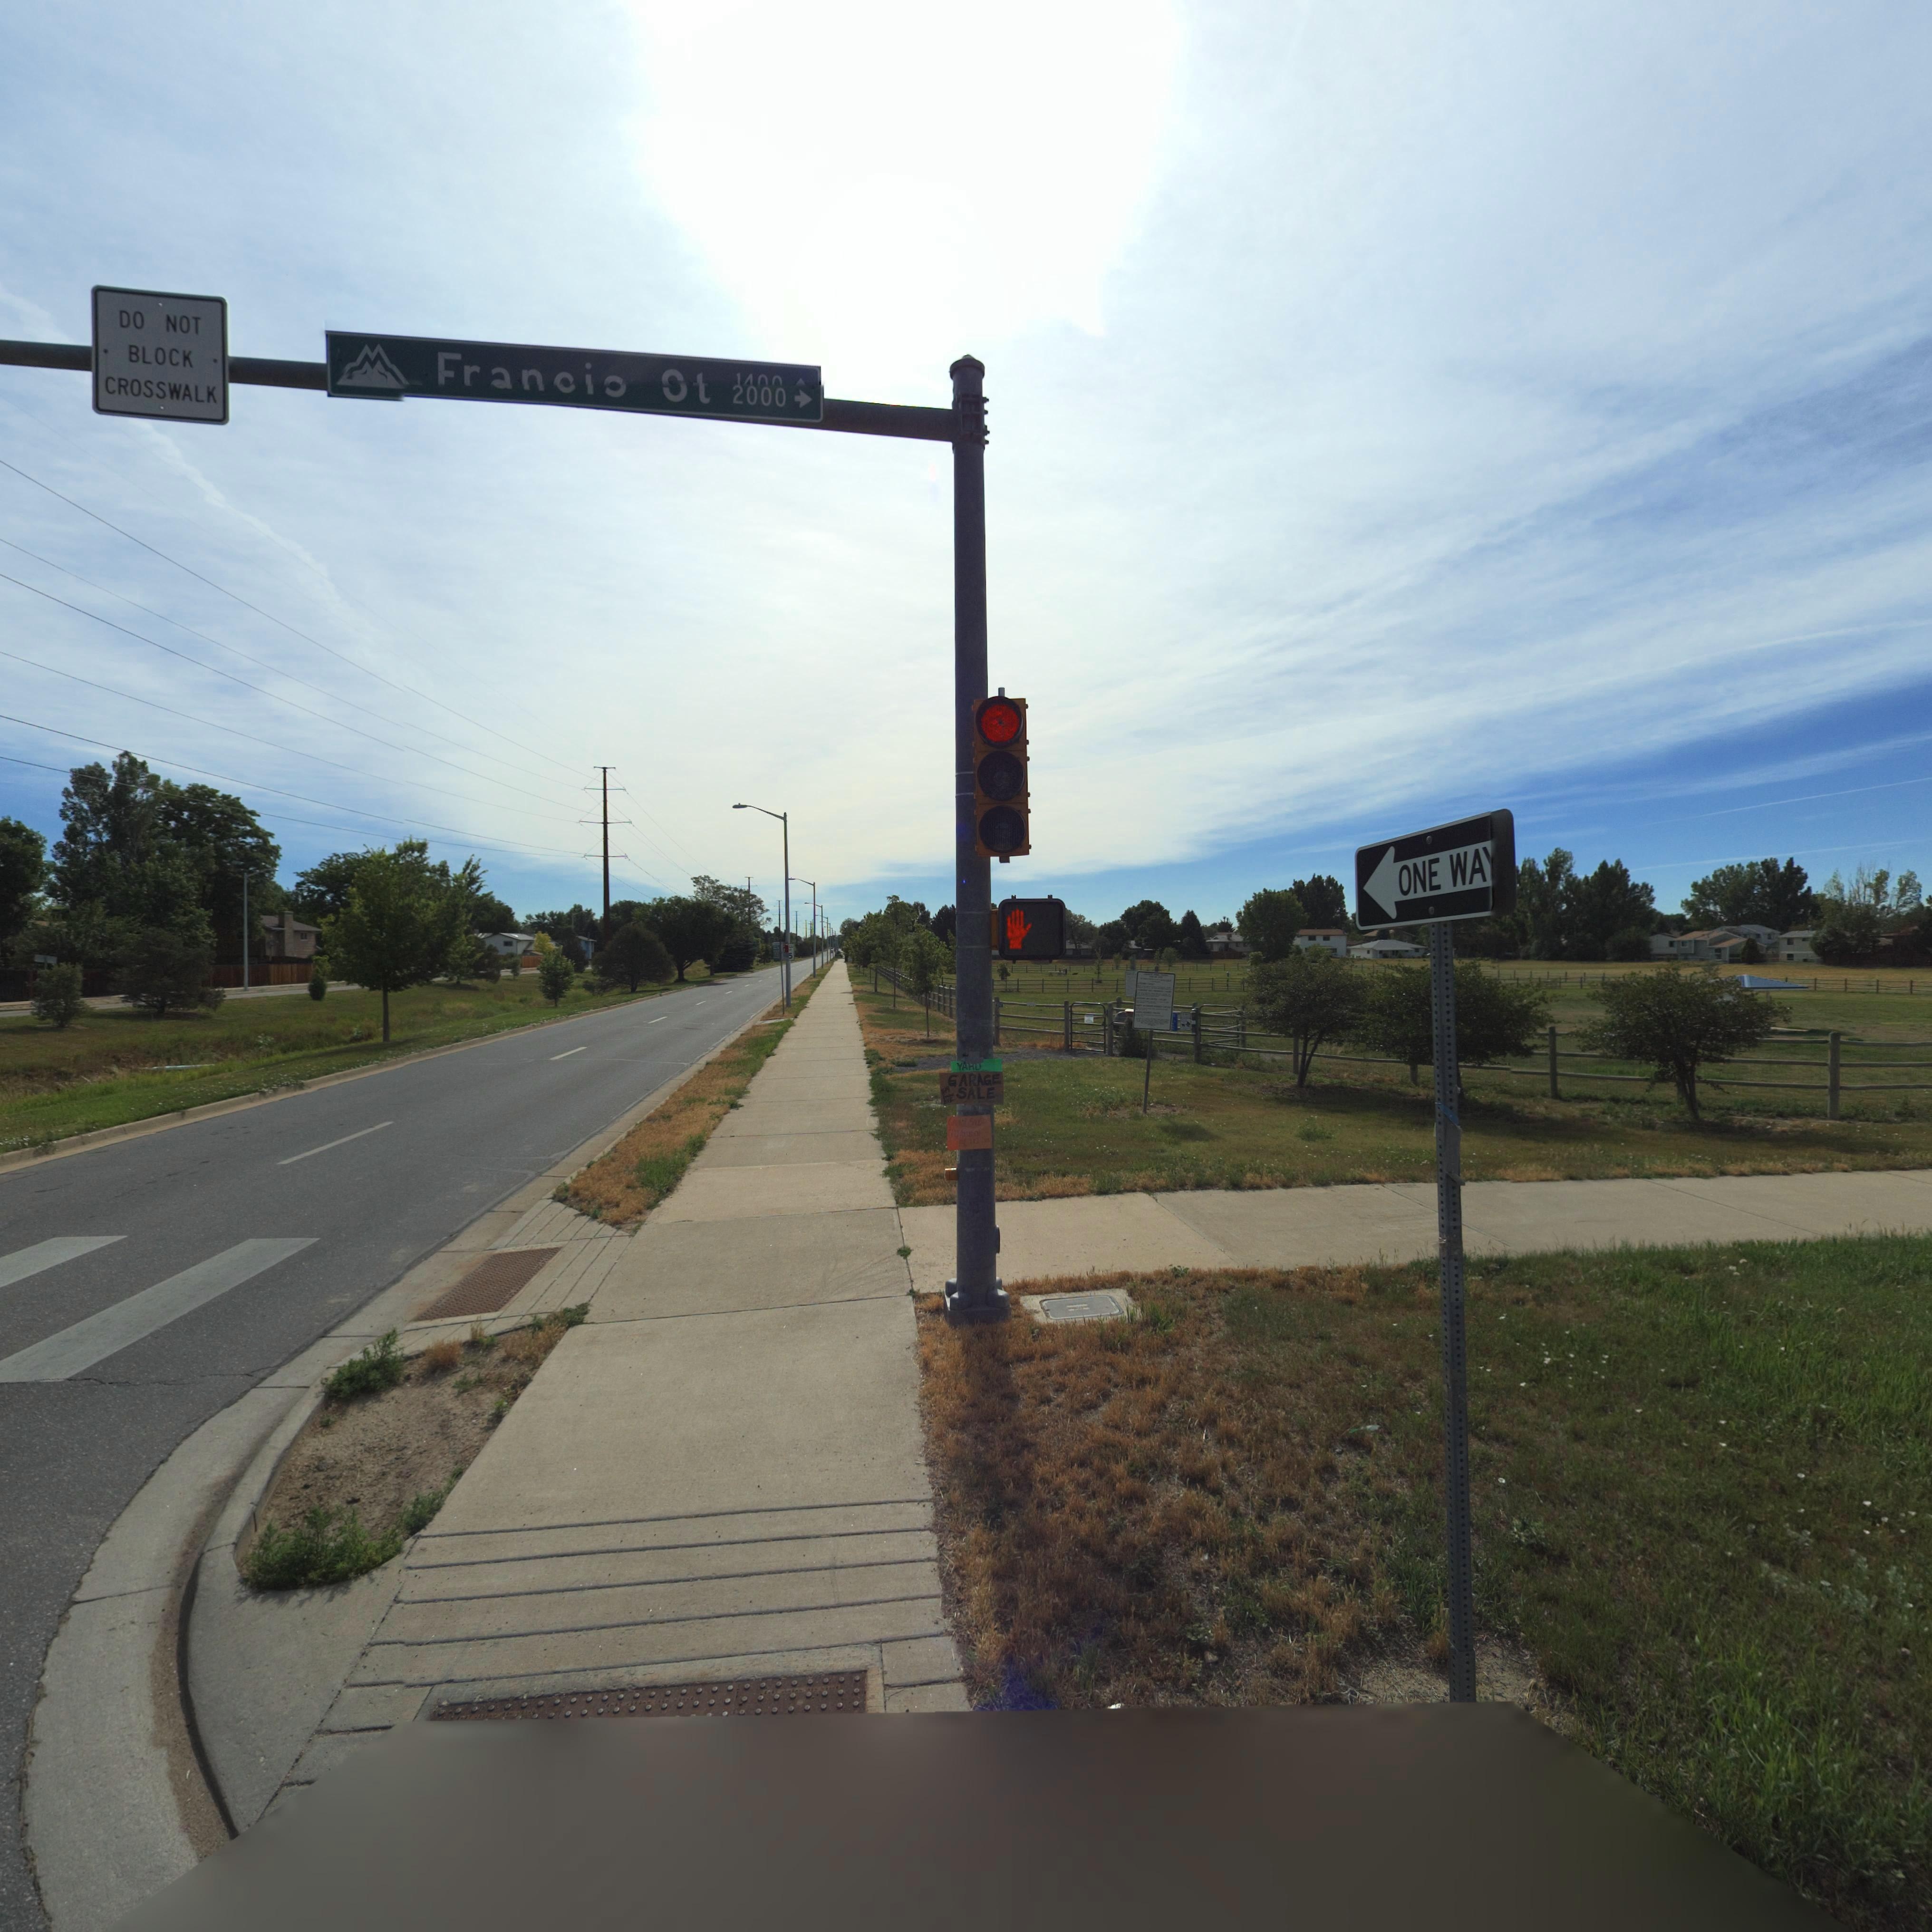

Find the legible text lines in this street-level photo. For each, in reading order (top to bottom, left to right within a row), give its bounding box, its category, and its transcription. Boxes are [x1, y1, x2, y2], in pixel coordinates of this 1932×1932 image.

[435, 349, 710, 404] StreetName: Fran*io *t 
[732, 384, 813, 409] StreetNumberRange: 2000->